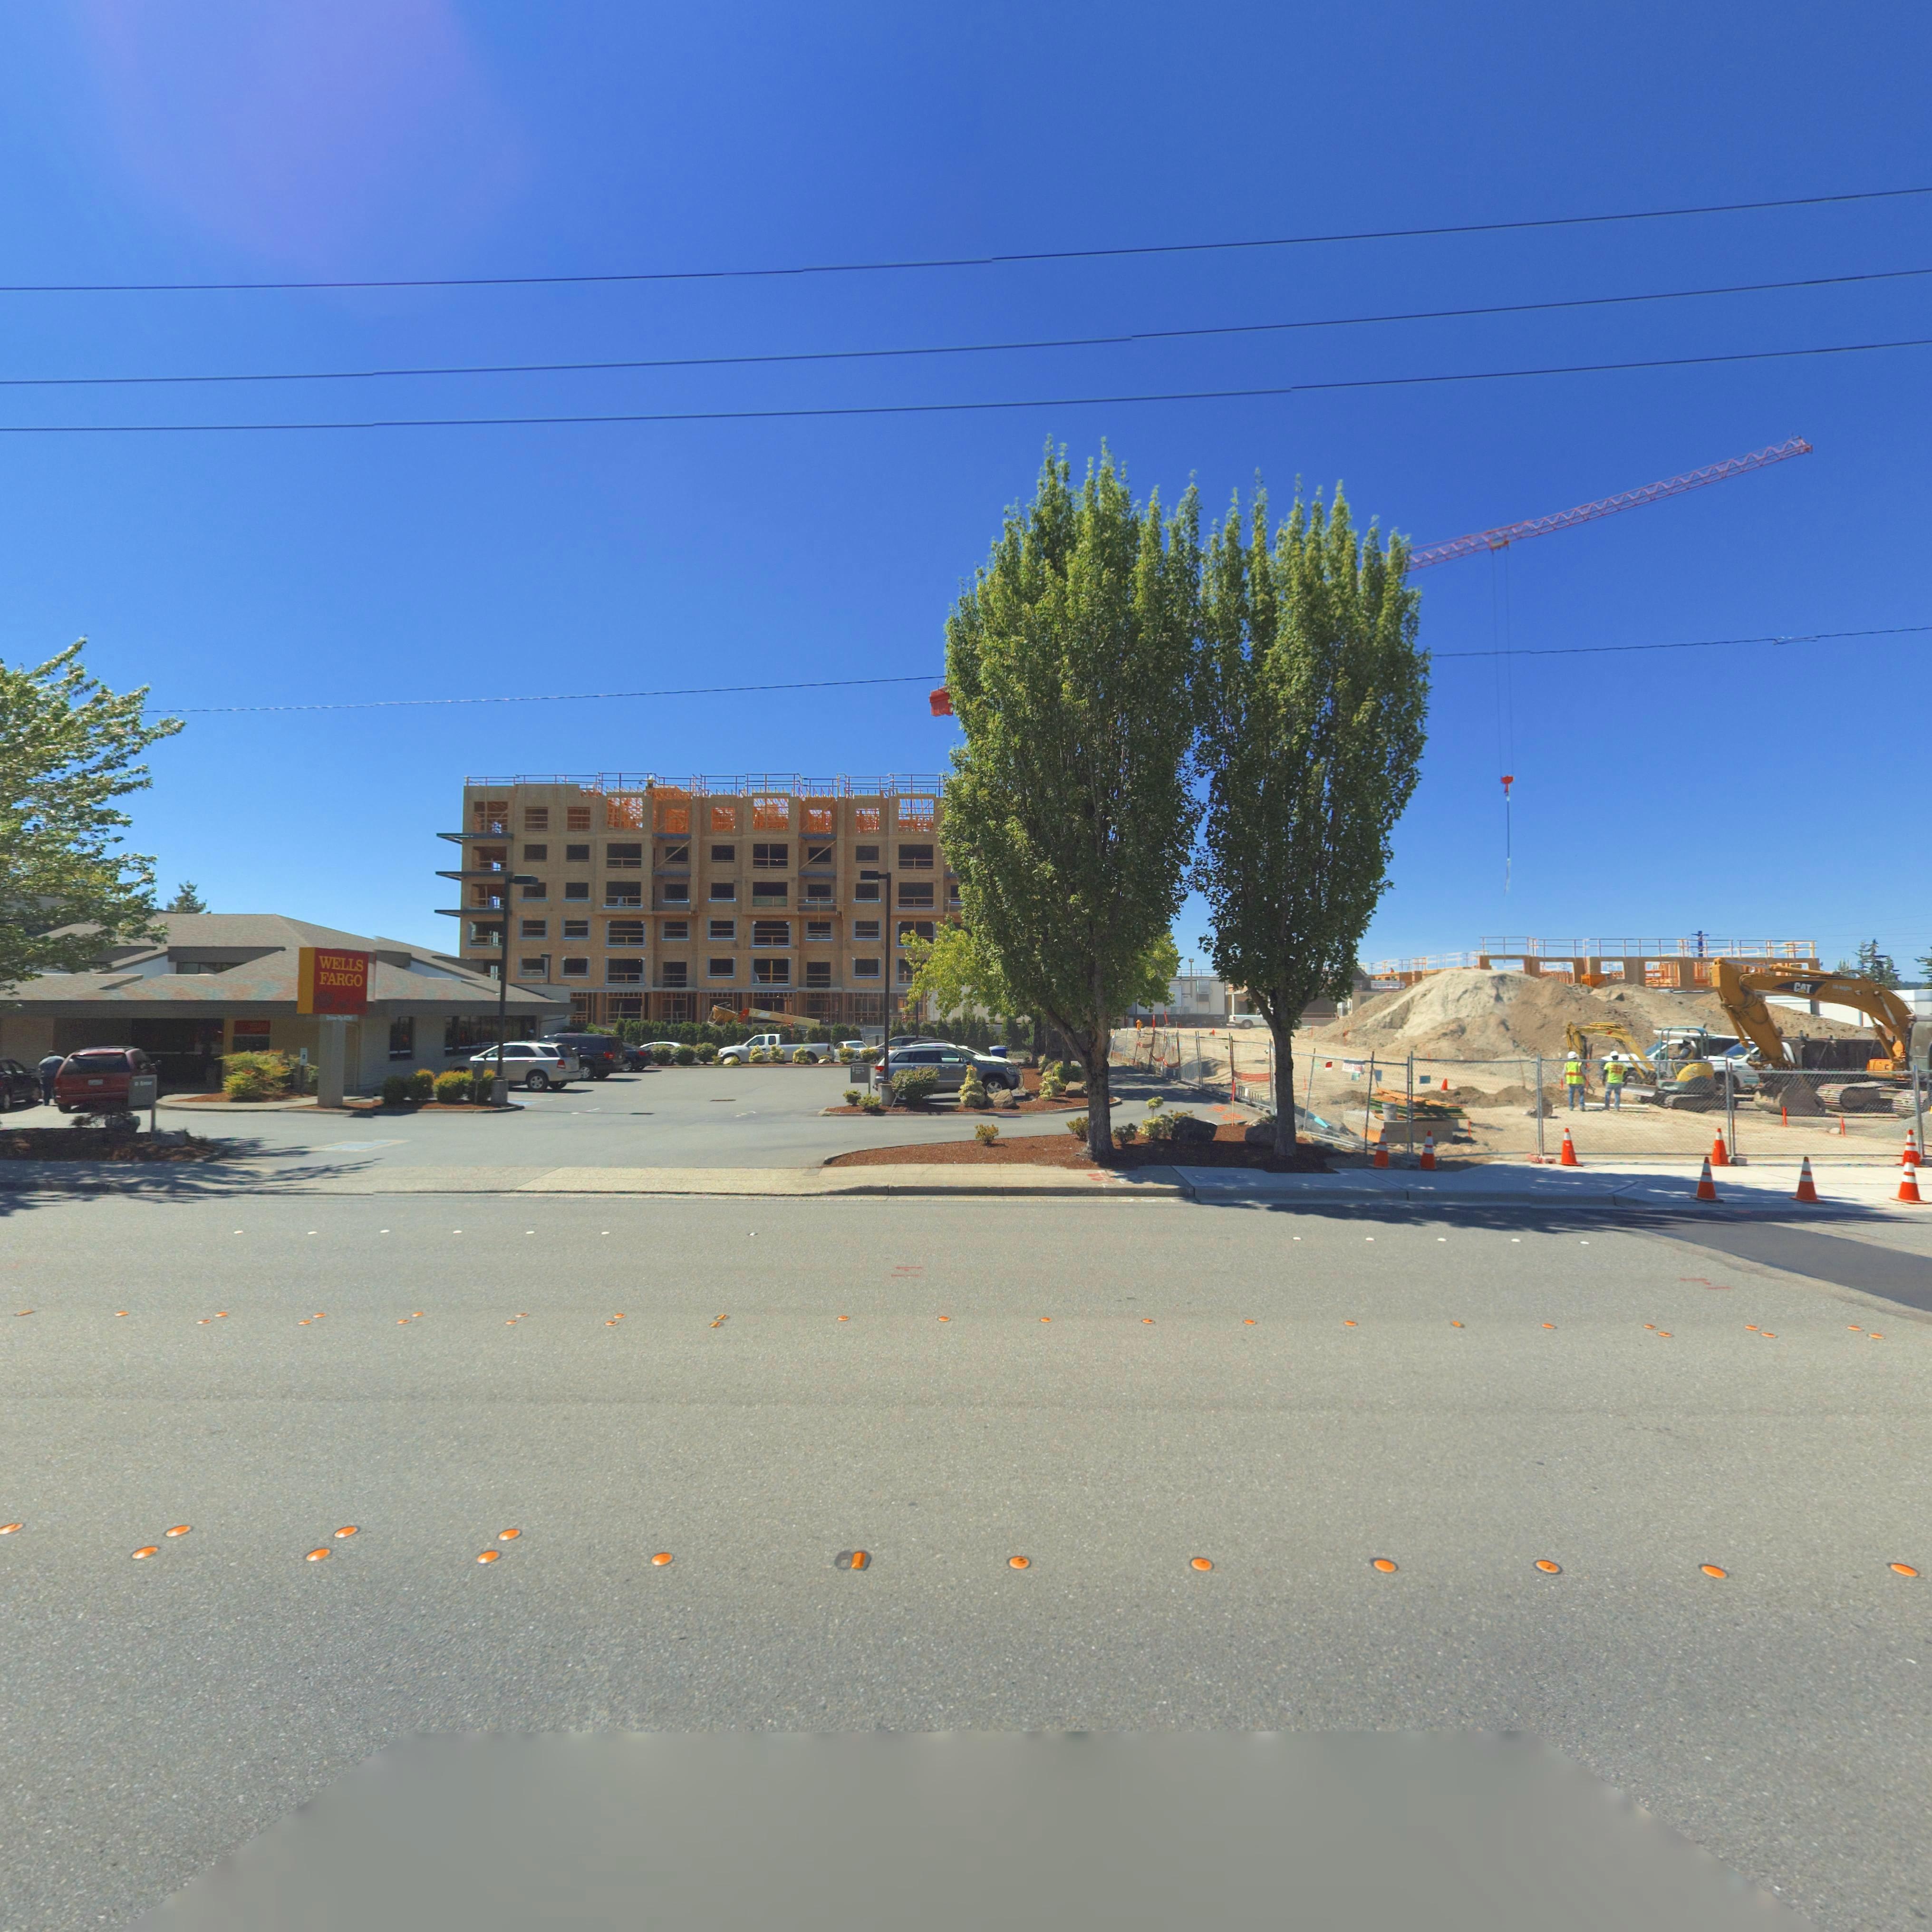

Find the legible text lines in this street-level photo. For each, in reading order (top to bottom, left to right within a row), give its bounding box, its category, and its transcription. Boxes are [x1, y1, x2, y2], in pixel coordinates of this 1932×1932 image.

[318, 955, 364, 972] BusinessName: WELLS
[318, 971, 363, 987] BusinessName: FARGO